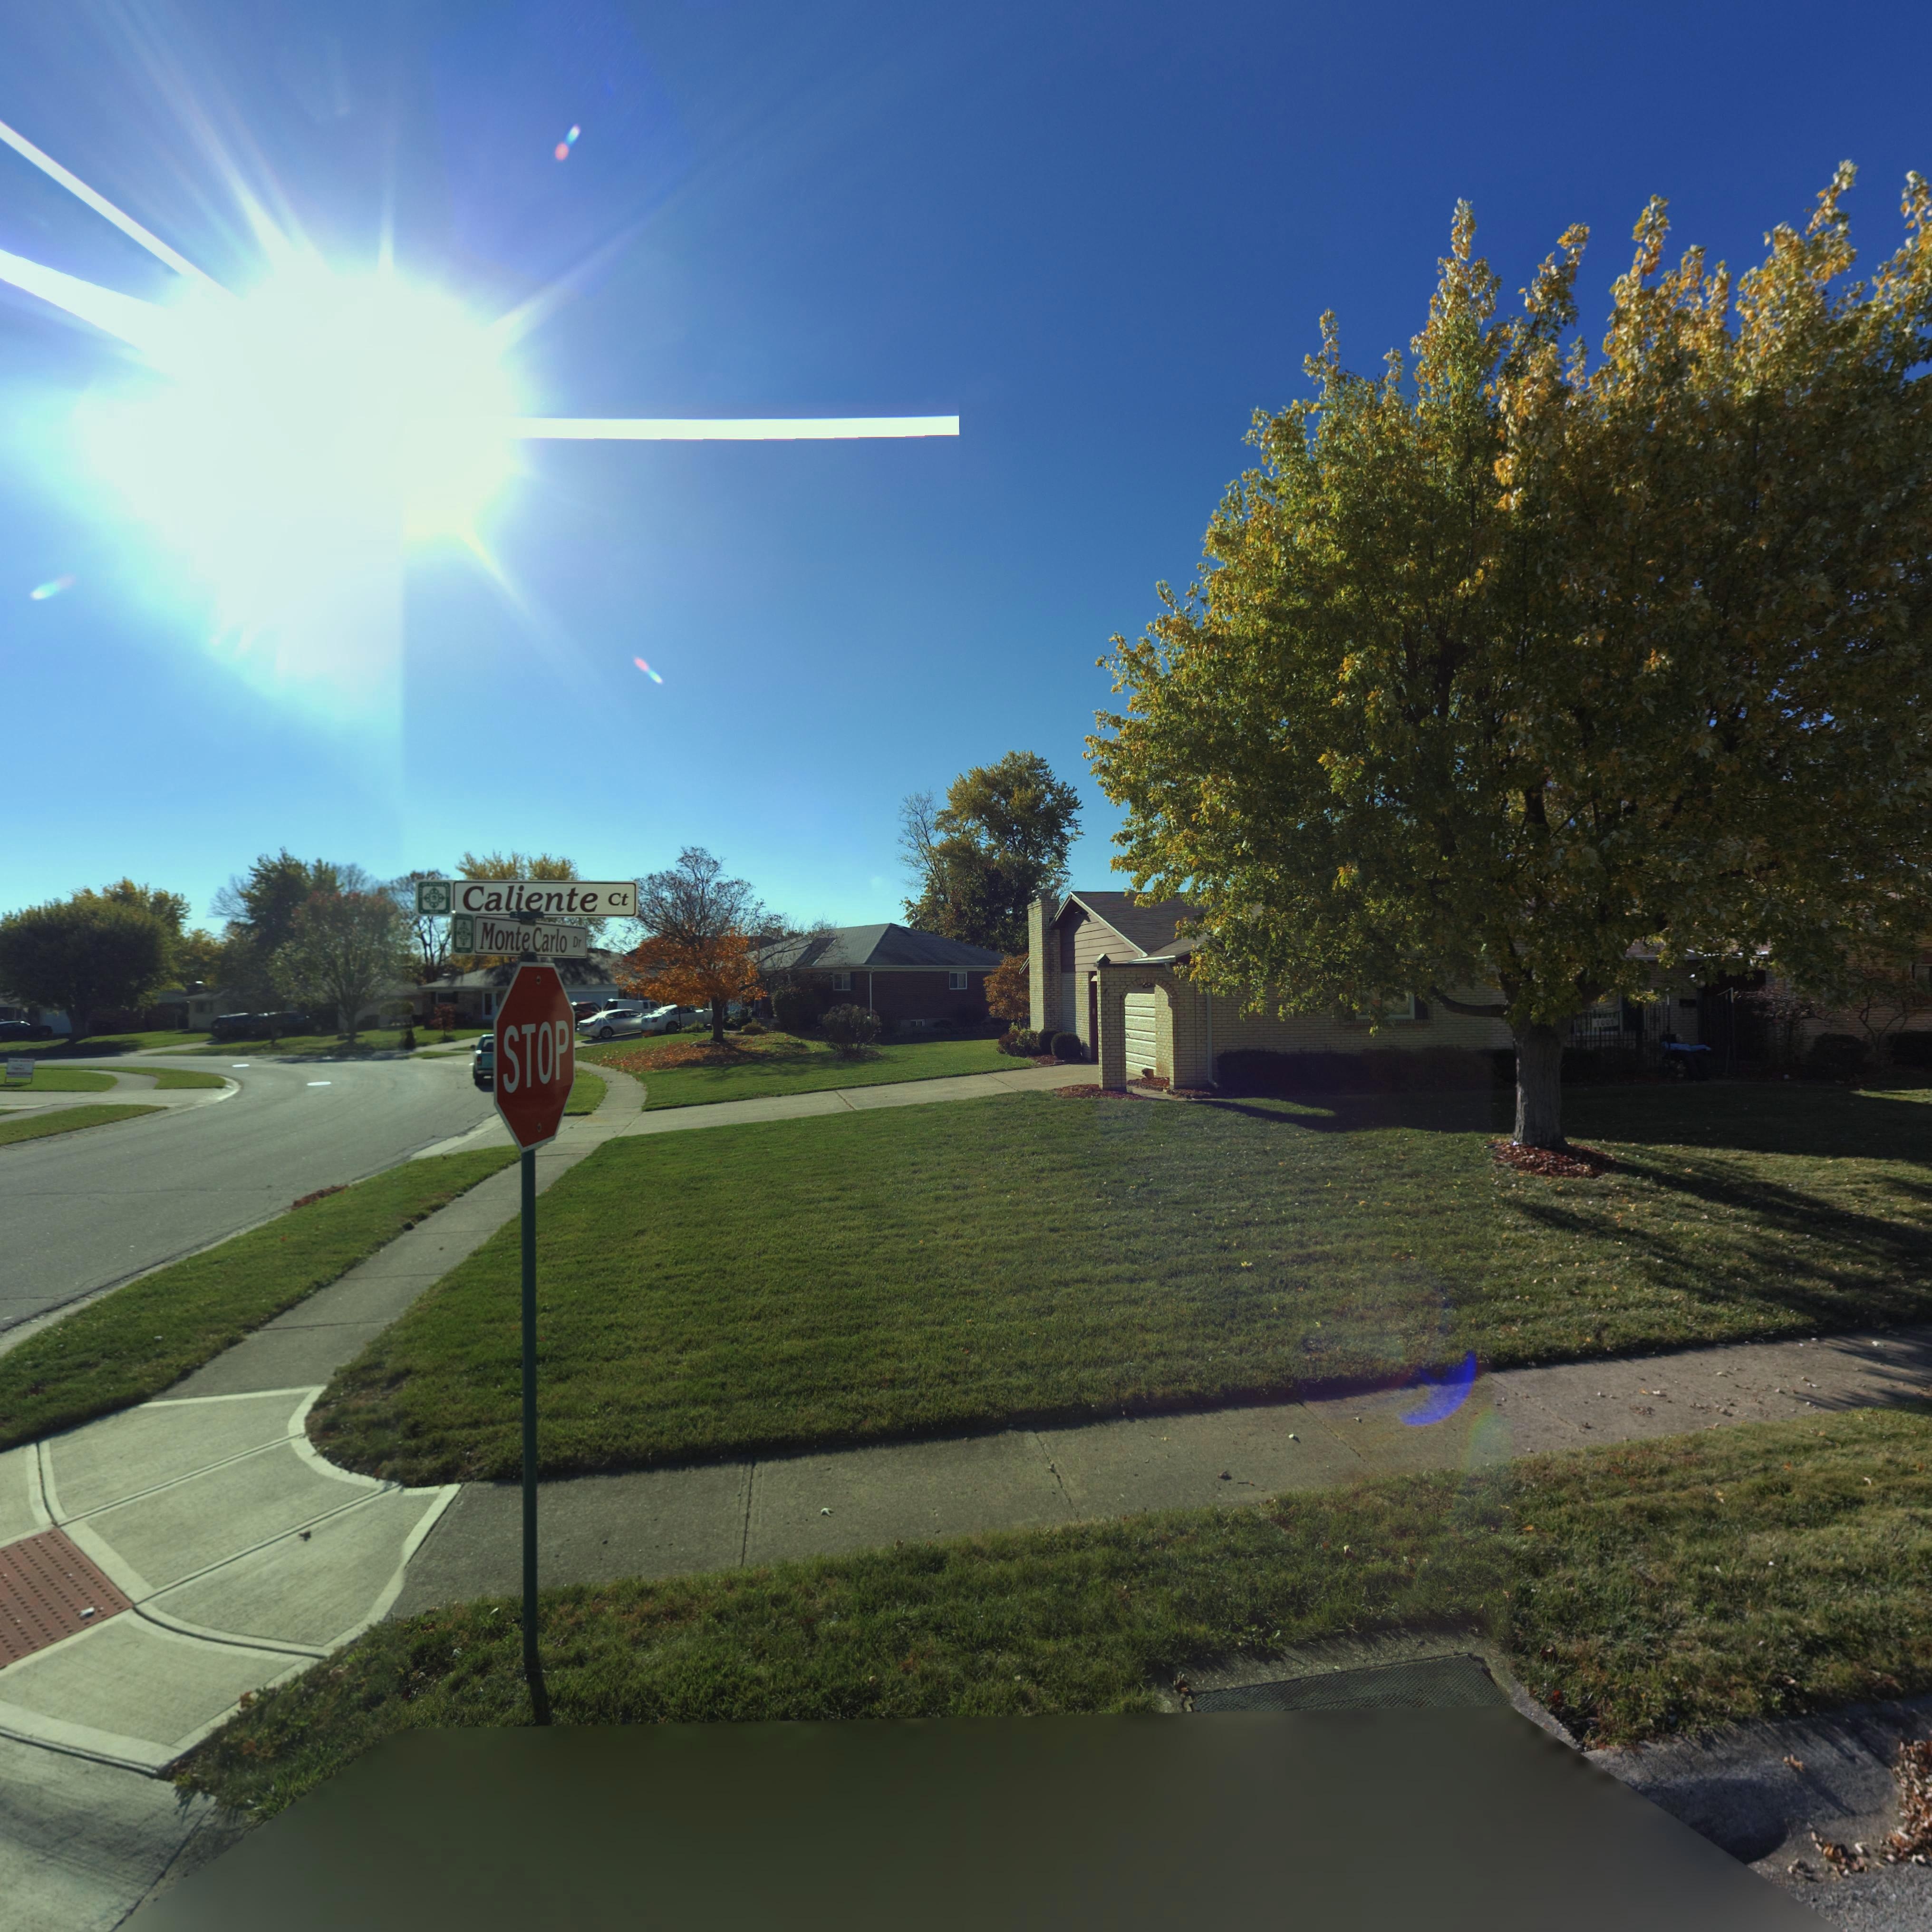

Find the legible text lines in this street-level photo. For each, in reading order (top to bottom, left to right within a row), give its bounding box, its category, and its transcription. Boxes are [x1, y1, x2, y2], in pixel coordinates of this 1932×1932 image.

[1595, 1018, 1614, 1027] StreetNumber: 7007